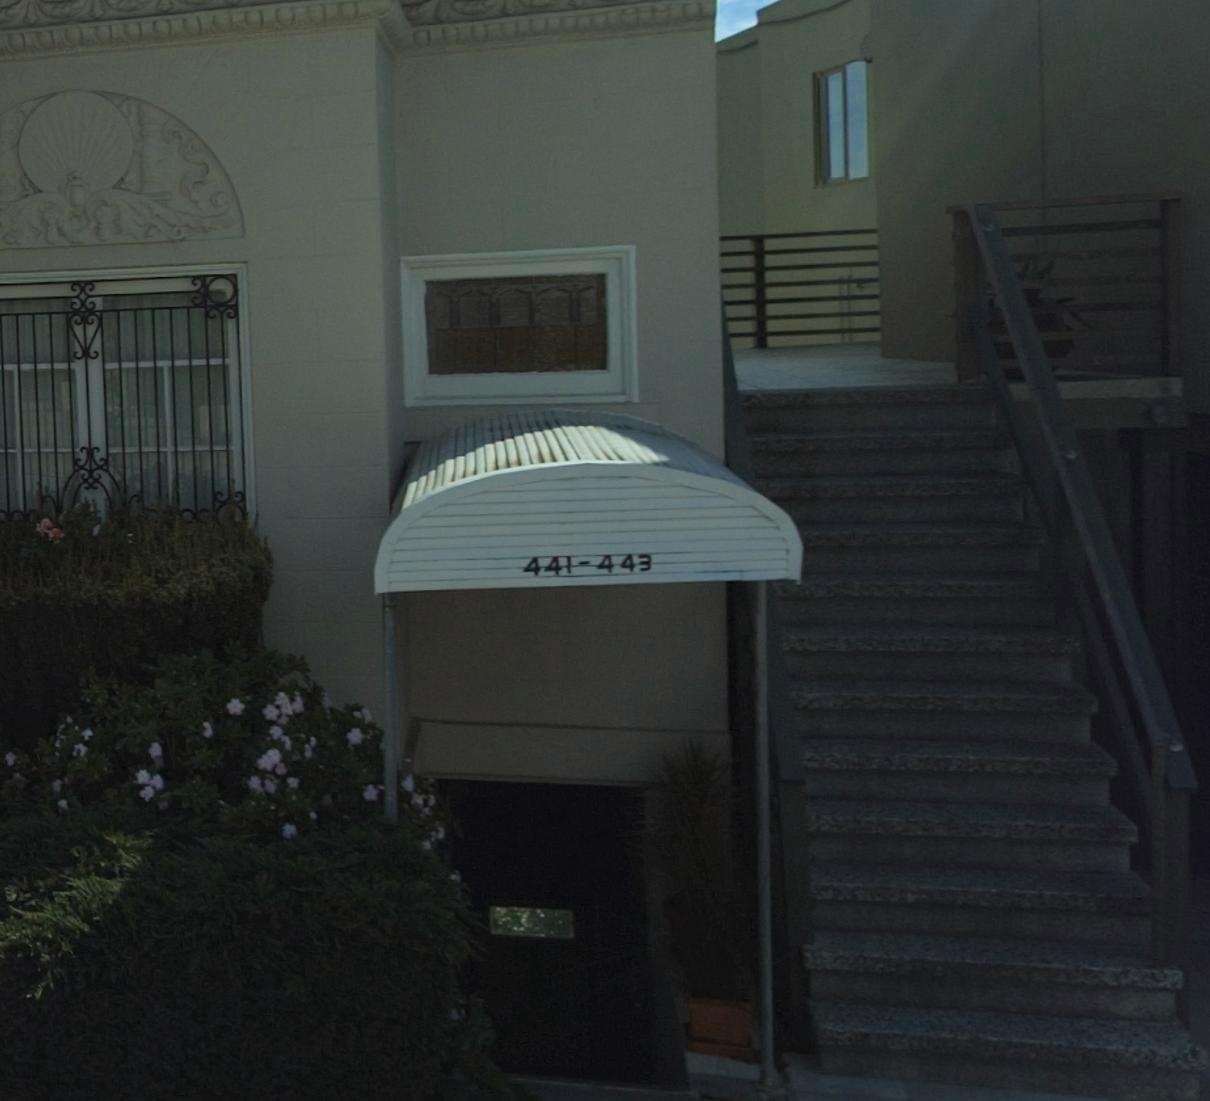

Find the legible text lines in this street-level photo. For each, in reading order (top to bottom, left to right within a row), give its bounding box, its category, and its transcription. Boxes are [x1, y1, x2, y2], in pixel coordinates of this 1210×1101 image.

[522, 554, 574, 578] StreetNumber: 441
[595, 554, 655, 574] StreetNumber: 443